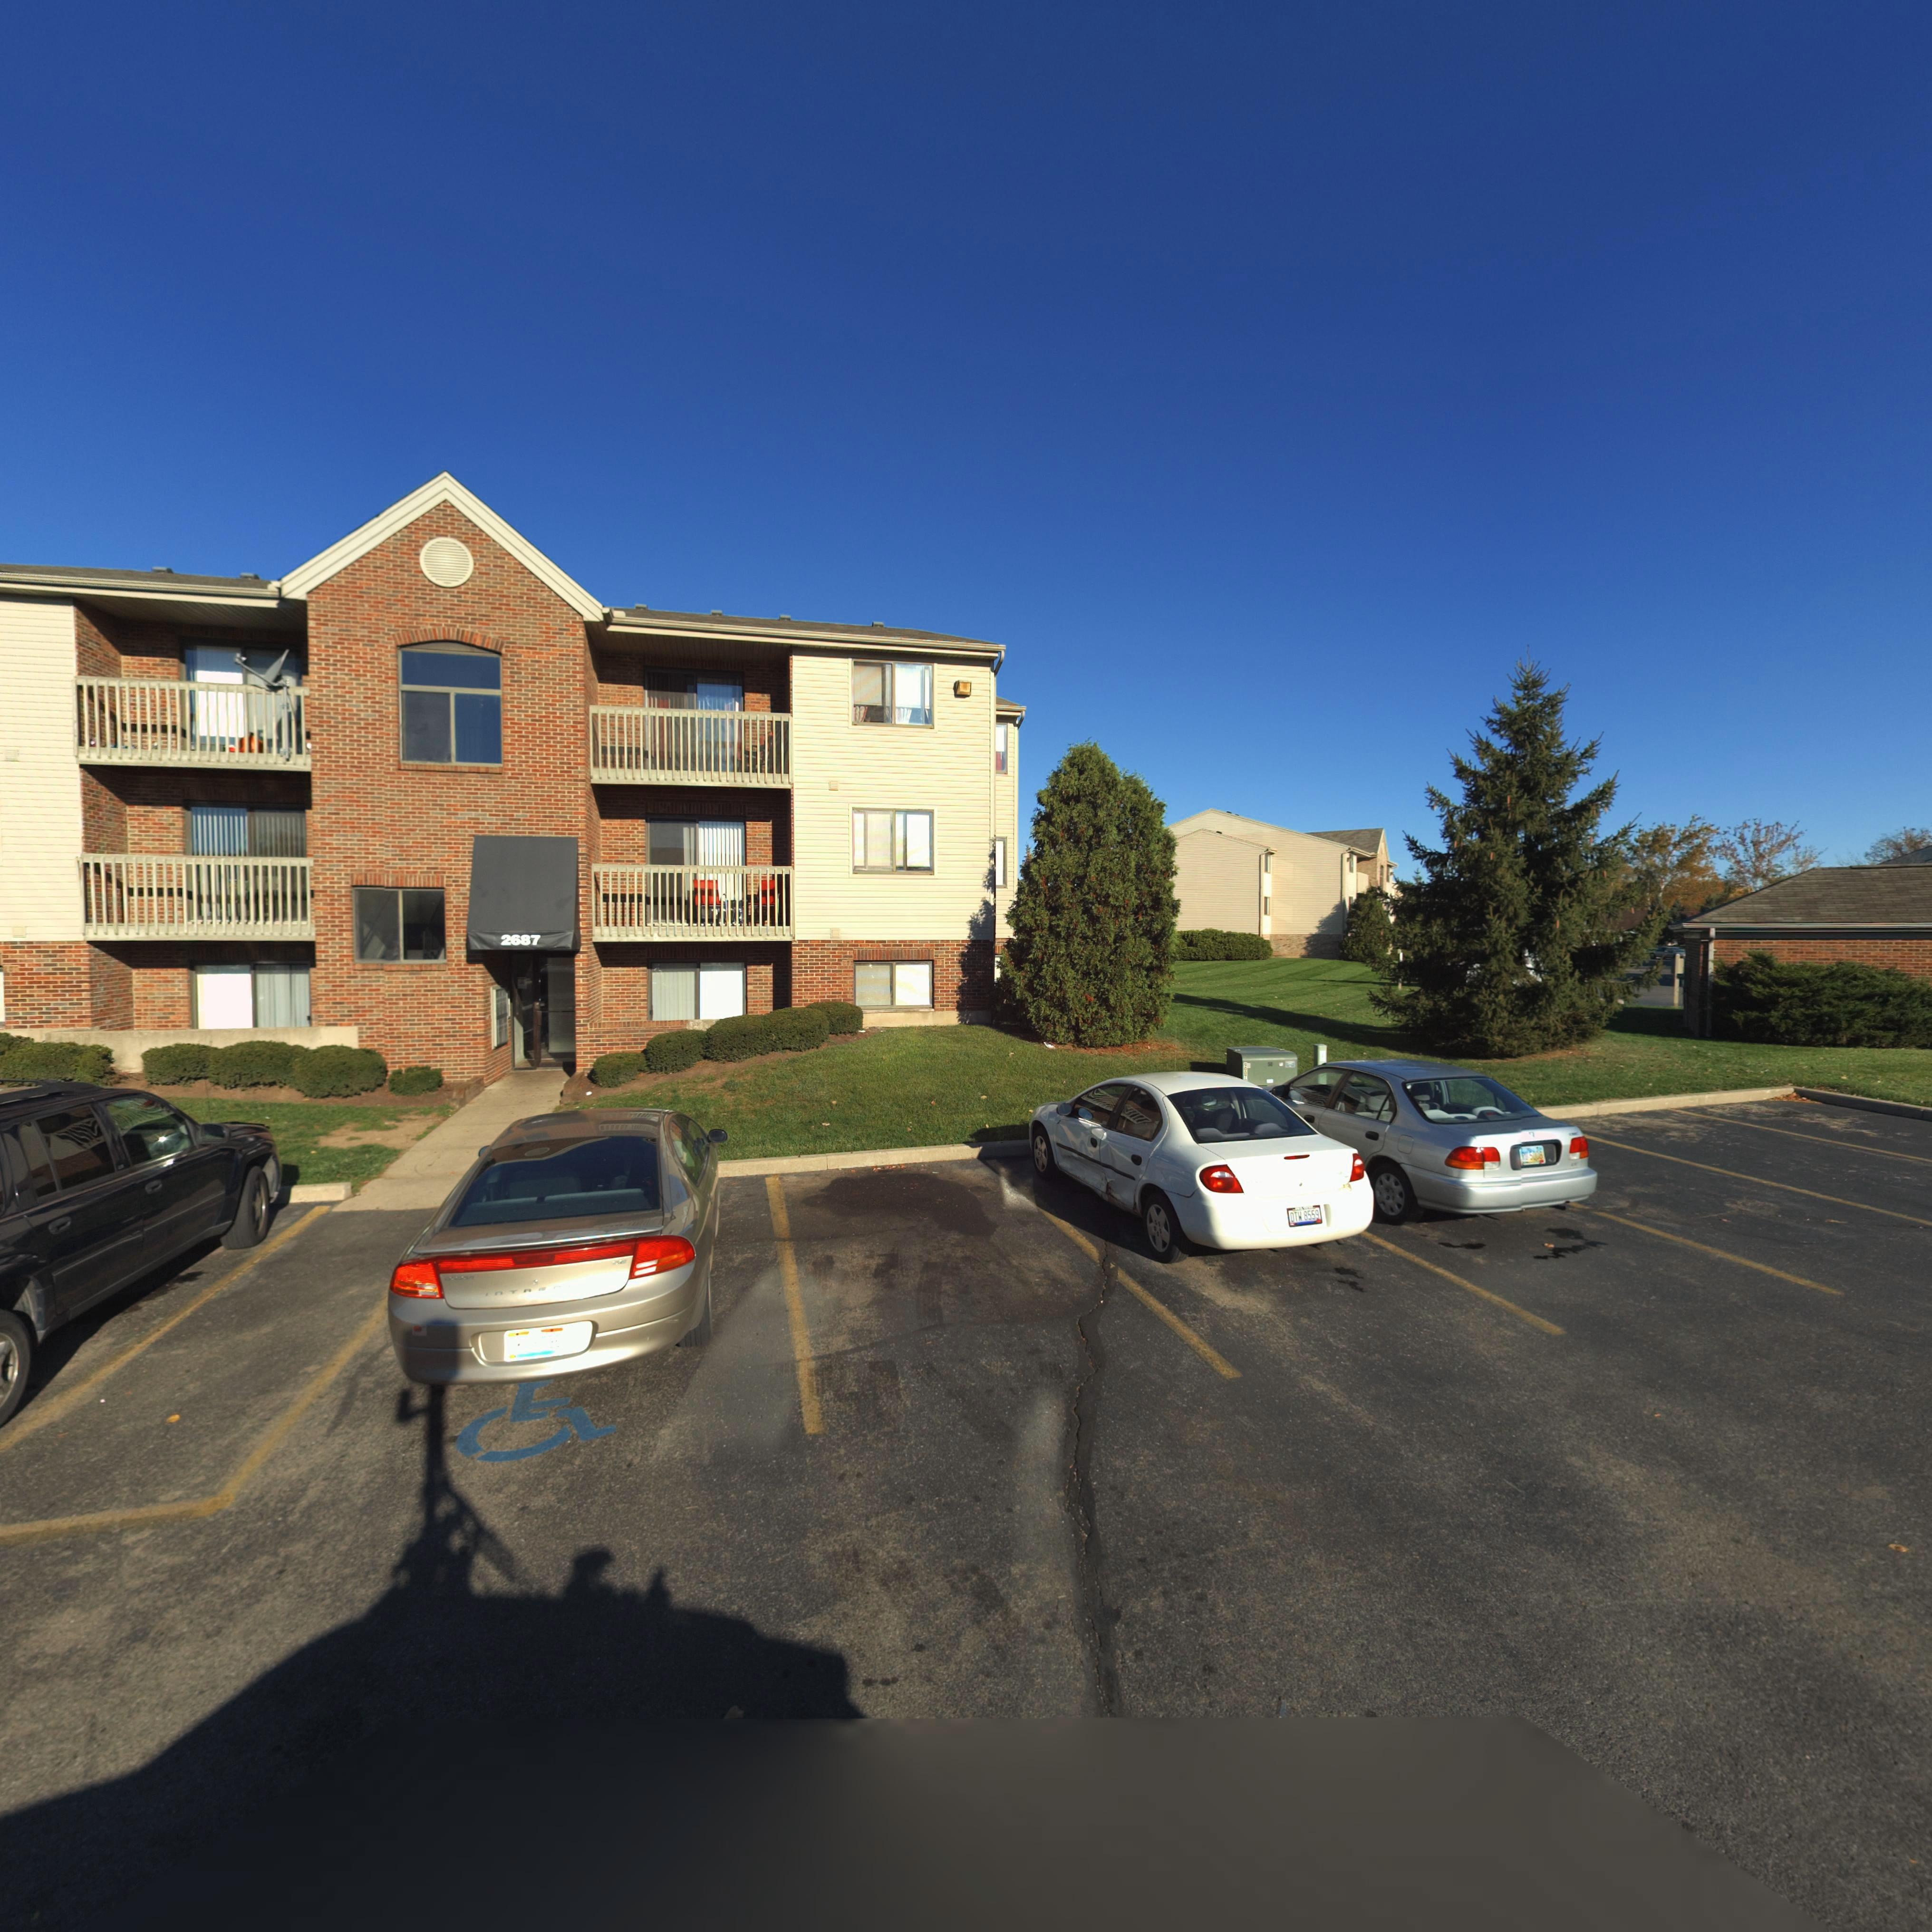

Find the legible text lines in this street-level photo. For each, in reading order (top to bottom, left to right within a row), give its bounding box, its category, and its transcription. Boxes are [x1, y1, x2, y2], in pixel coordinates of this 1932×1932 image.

[500, 934, 541, 946] StreetNumber: 2687